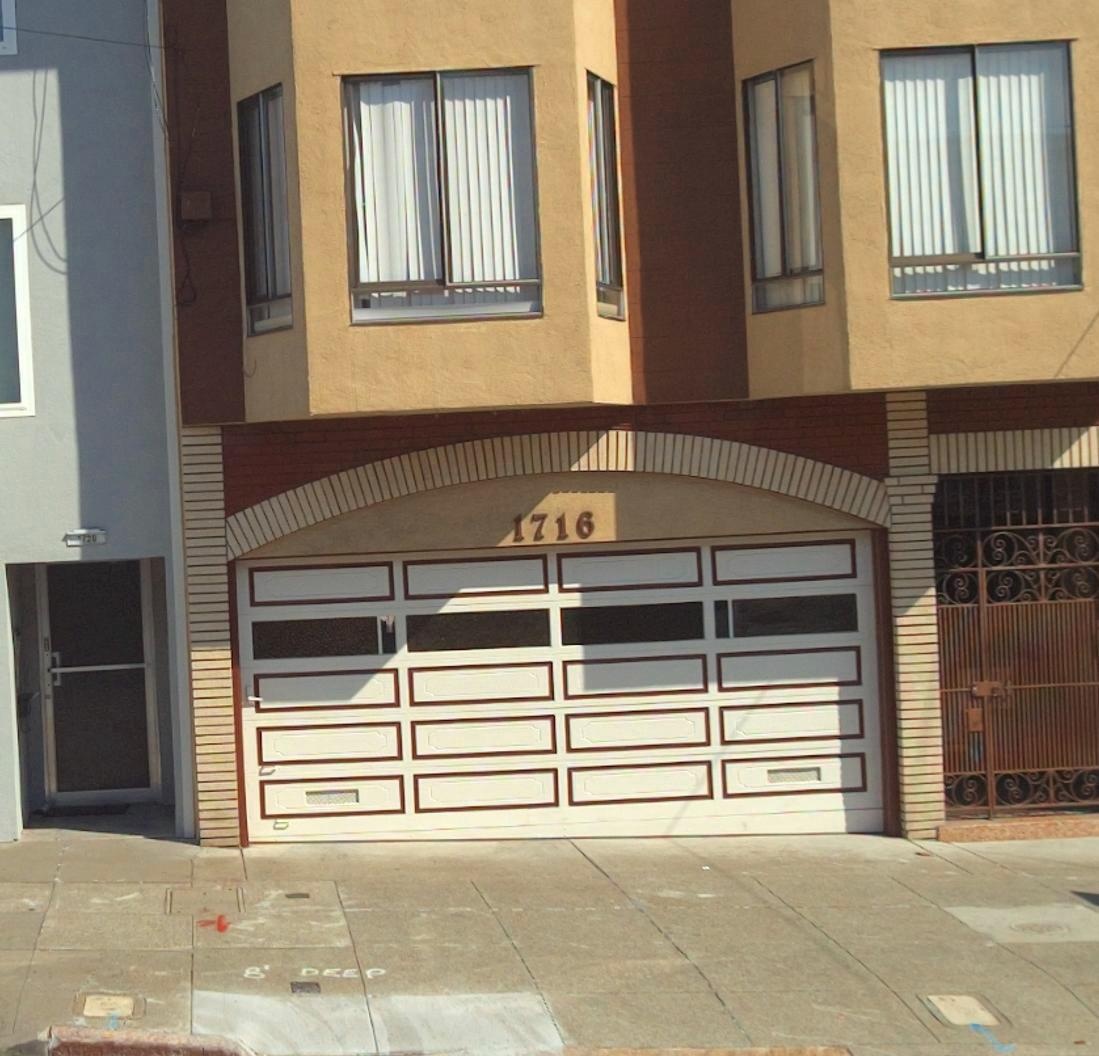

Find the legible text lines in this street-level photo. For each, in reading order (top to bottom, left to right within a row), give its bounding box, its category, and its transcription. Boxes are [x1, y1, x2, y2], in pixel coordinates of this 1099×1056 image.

[512, 511, 595, 542] StreetNumber: 1716
[75, 533, 97, 543] StreetNumber: 1720
[243, 963, 273, 982] None: 8'
[299, 965, 388, 981] None: DEEP